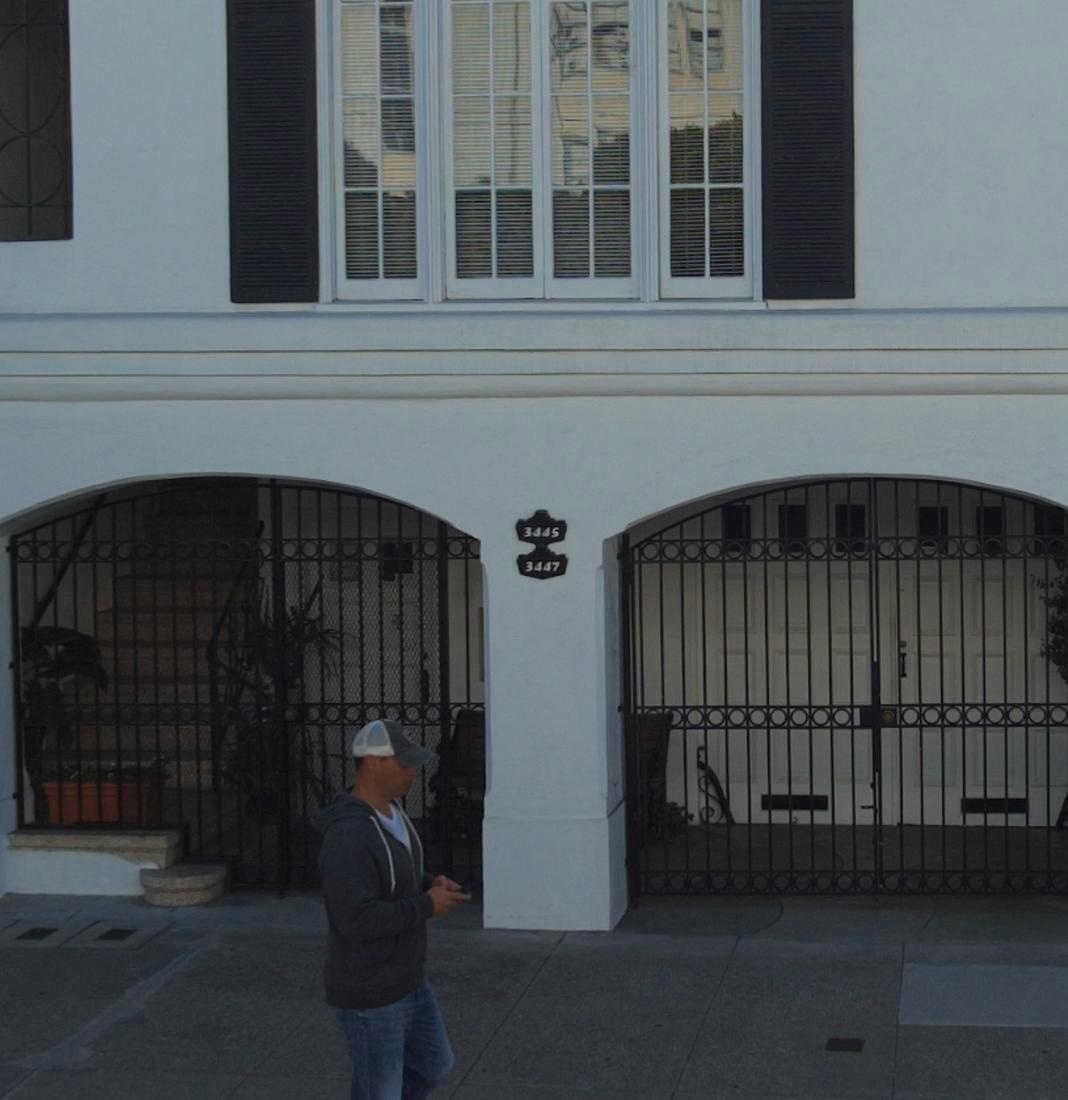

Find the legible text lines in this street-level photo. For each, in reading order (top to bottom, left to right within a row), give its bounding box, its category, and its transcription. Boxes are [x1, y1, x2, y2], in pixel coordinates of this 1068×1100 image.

[522, 526, 560, 538] StreetNumber: 3445
[523, 560, 560, 573] StreetNumber: 3447